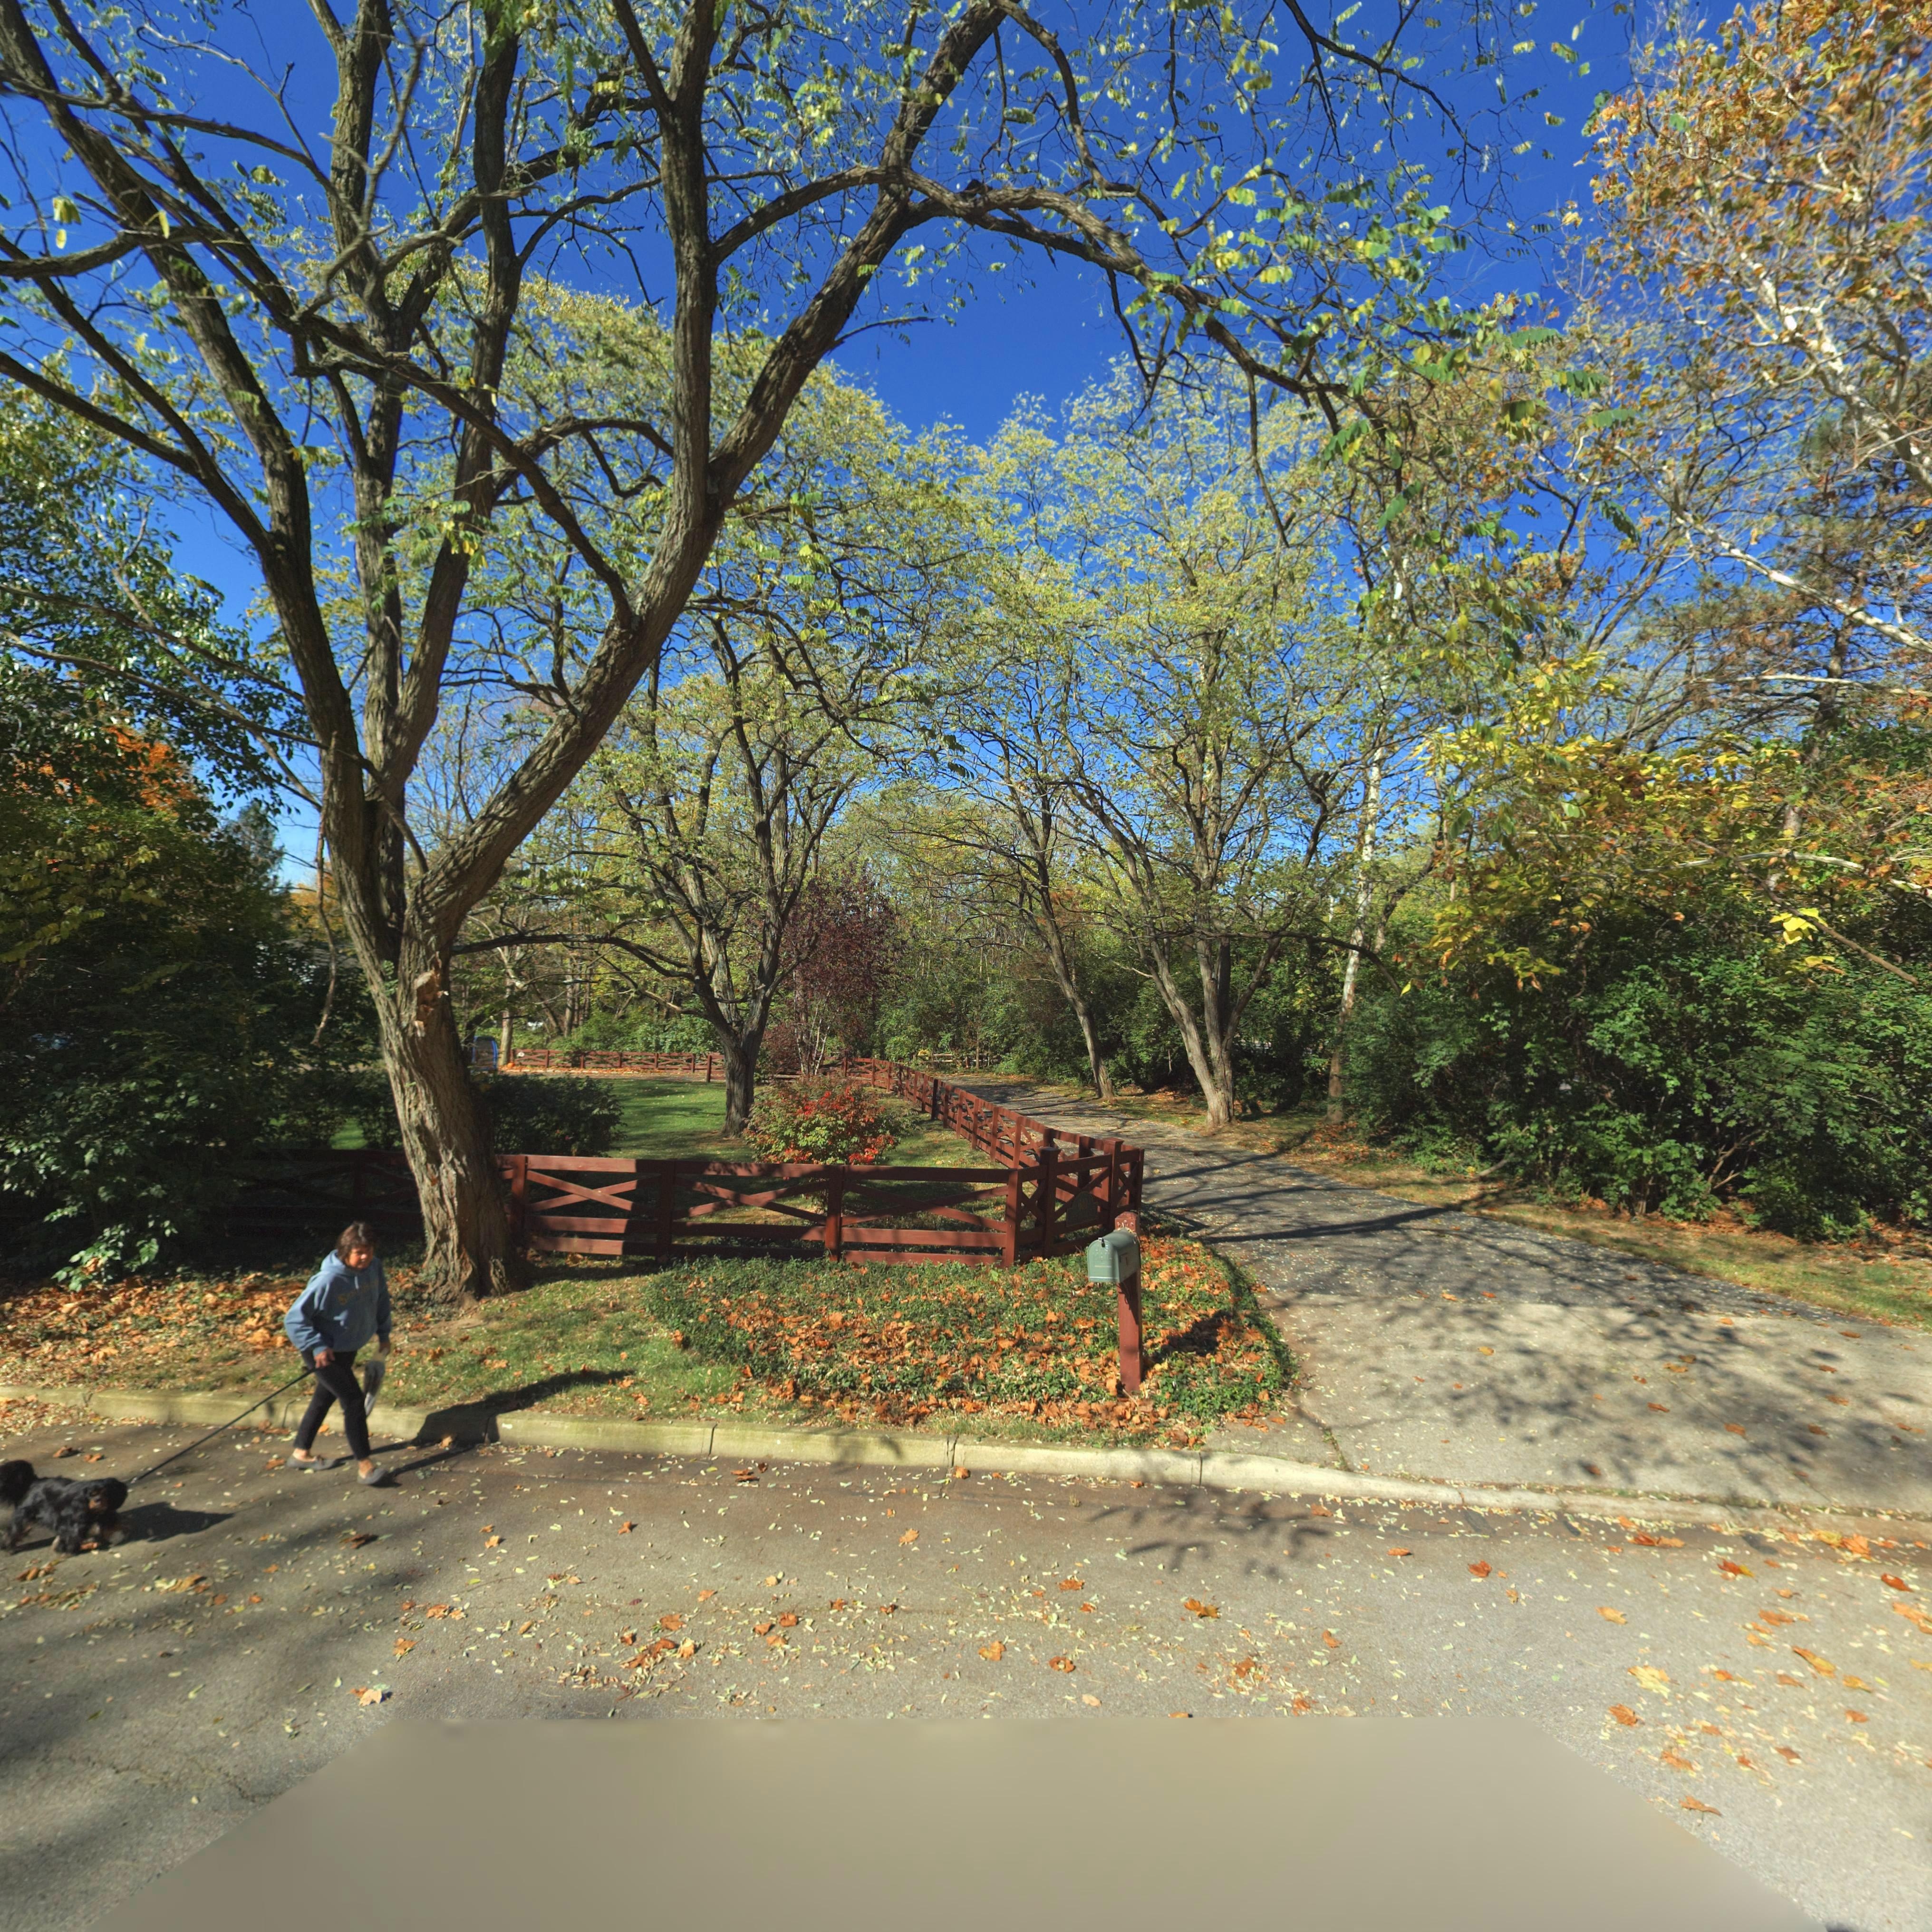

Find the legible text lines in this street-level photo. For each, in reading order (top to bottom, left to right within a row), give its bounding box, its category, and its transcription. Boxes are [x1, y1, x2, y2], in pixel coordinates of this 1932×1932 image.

[1076, 1198, 1089, 1212] StreetNumber: 610